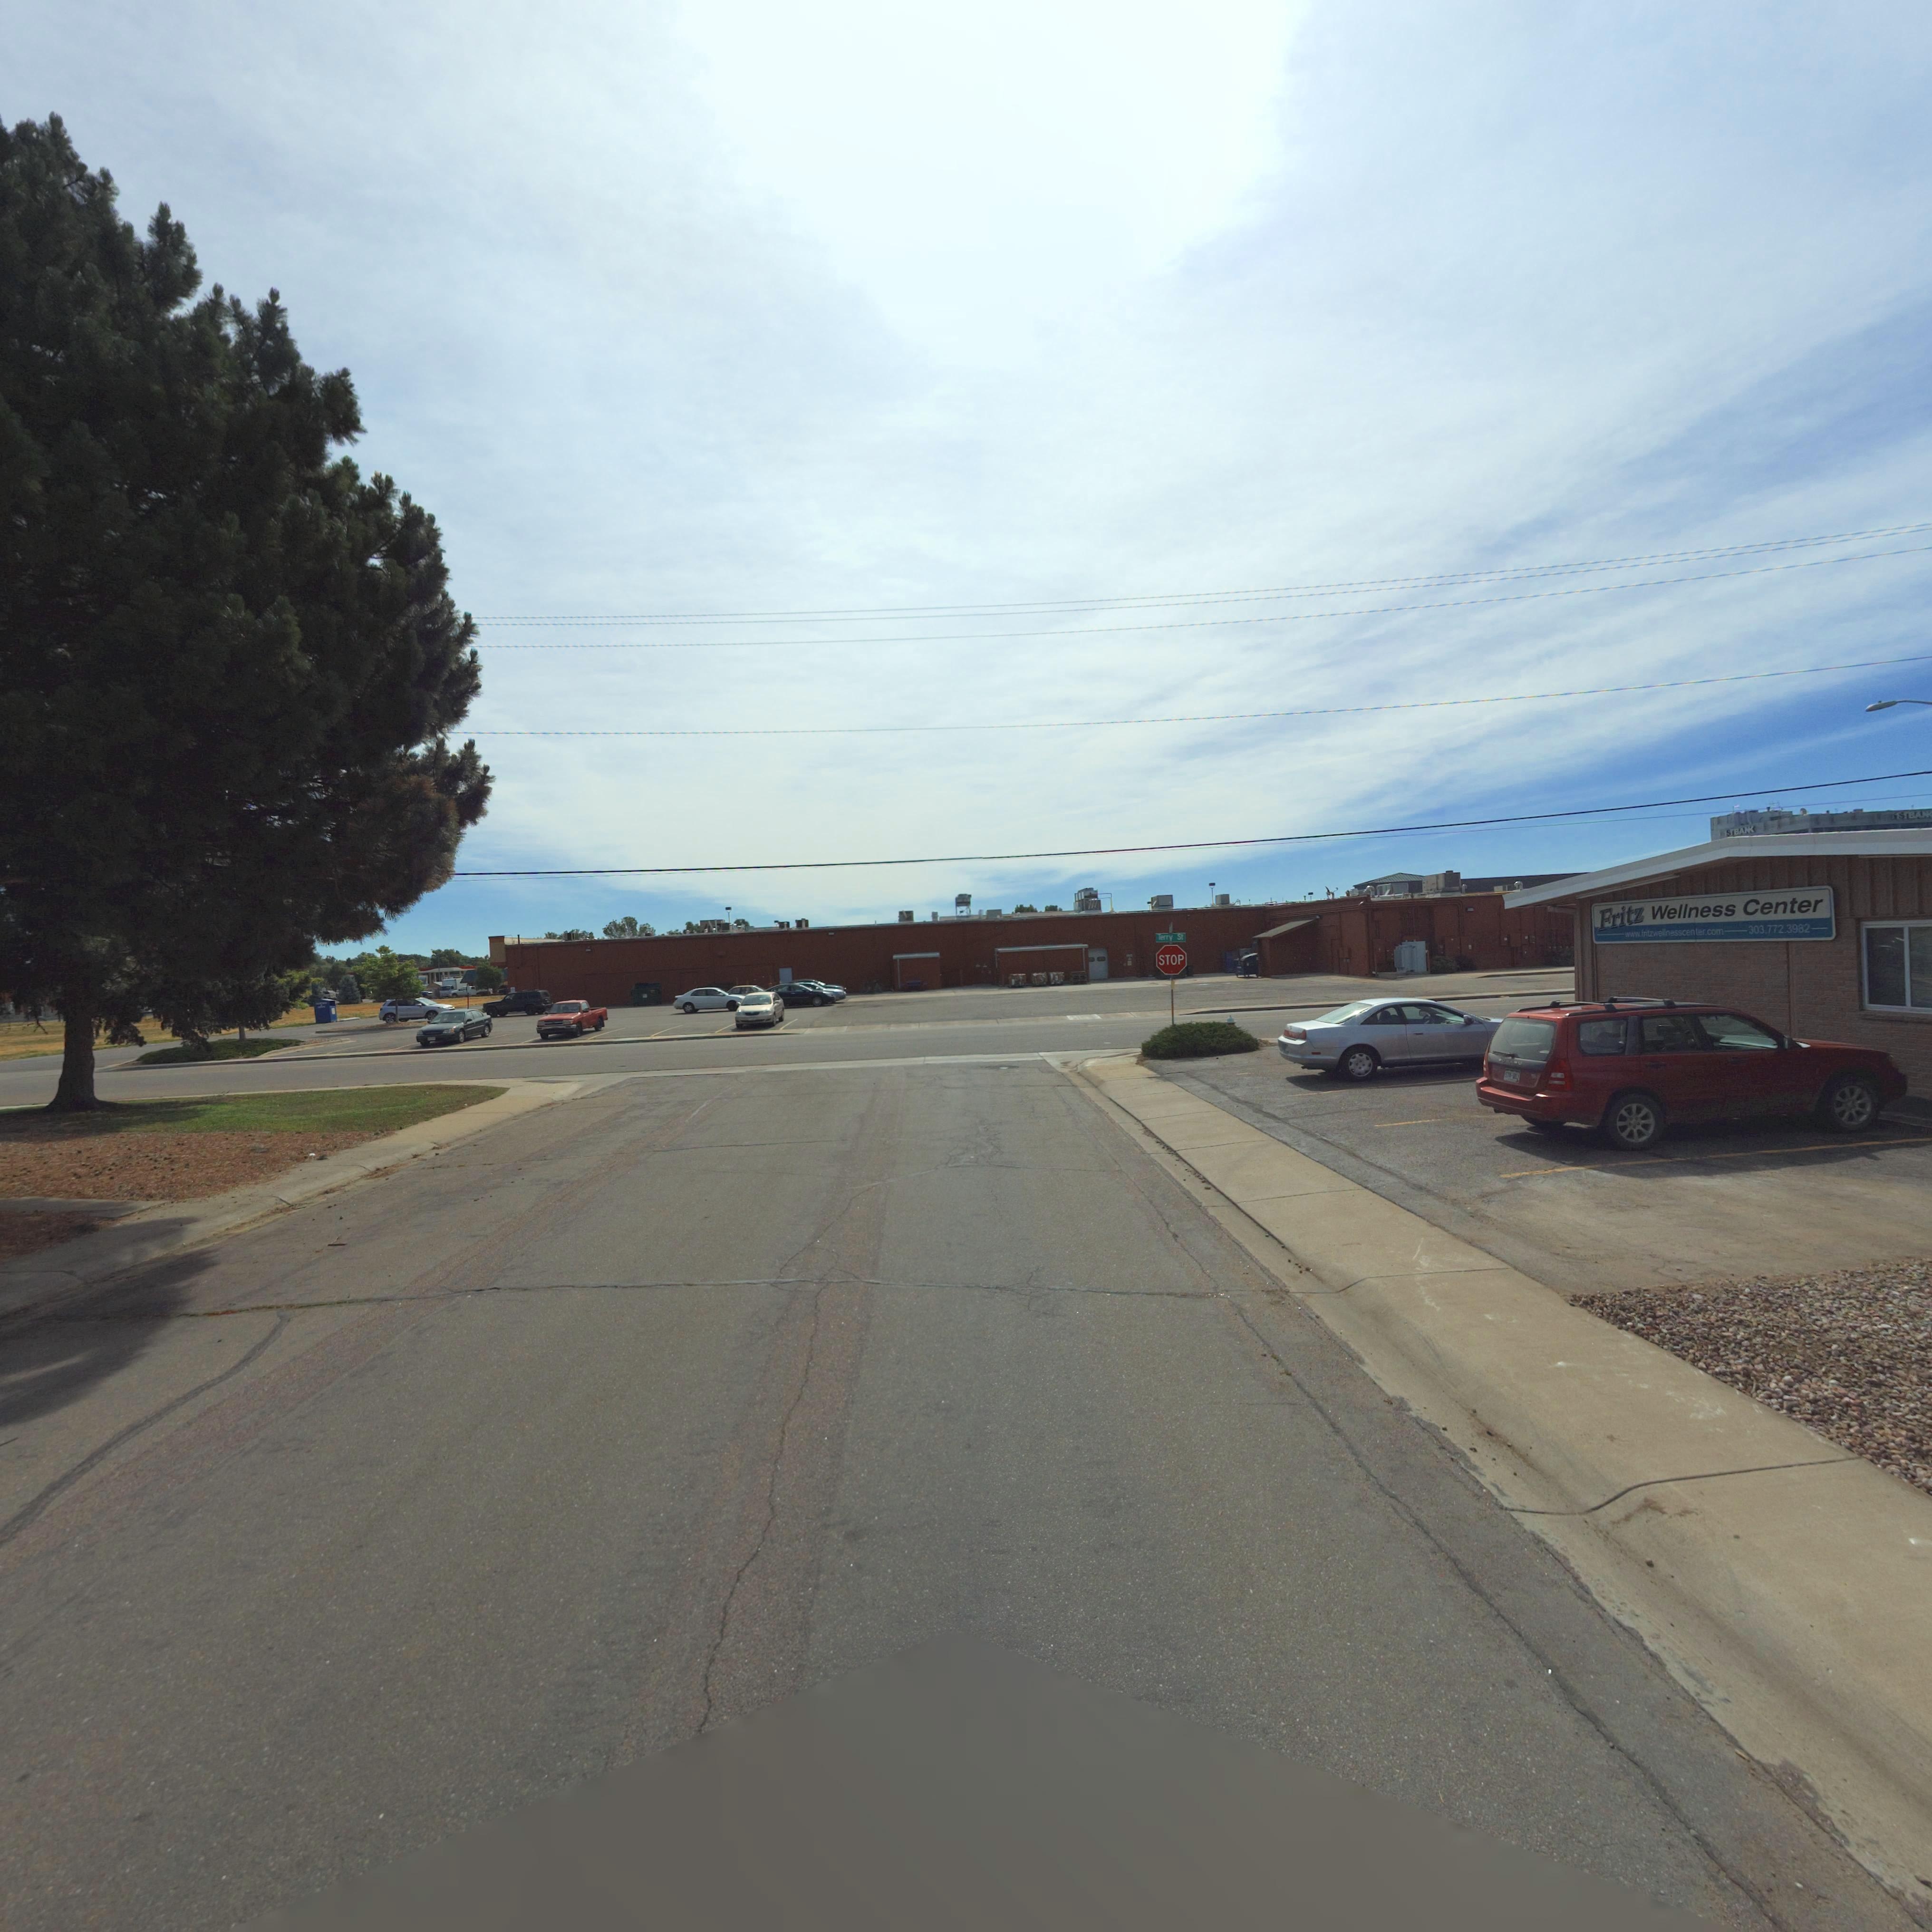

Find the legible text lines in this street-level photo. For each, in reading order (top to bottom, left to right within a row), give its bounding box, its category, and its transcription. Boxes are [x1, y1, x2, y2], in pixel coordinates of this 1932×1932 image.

[1893, 809, 1929, 821] BusinessName: 1STBAN
[1723, 825, 1756, 838] BusinessName: 1ST BANK
[1651, 897, 1824, 920] BusinessName: Wellness Center
[1597, 905, 1645, 932] BusinessName: Fritz
[1157, 933, 1184, 942] StreetName: Terry St